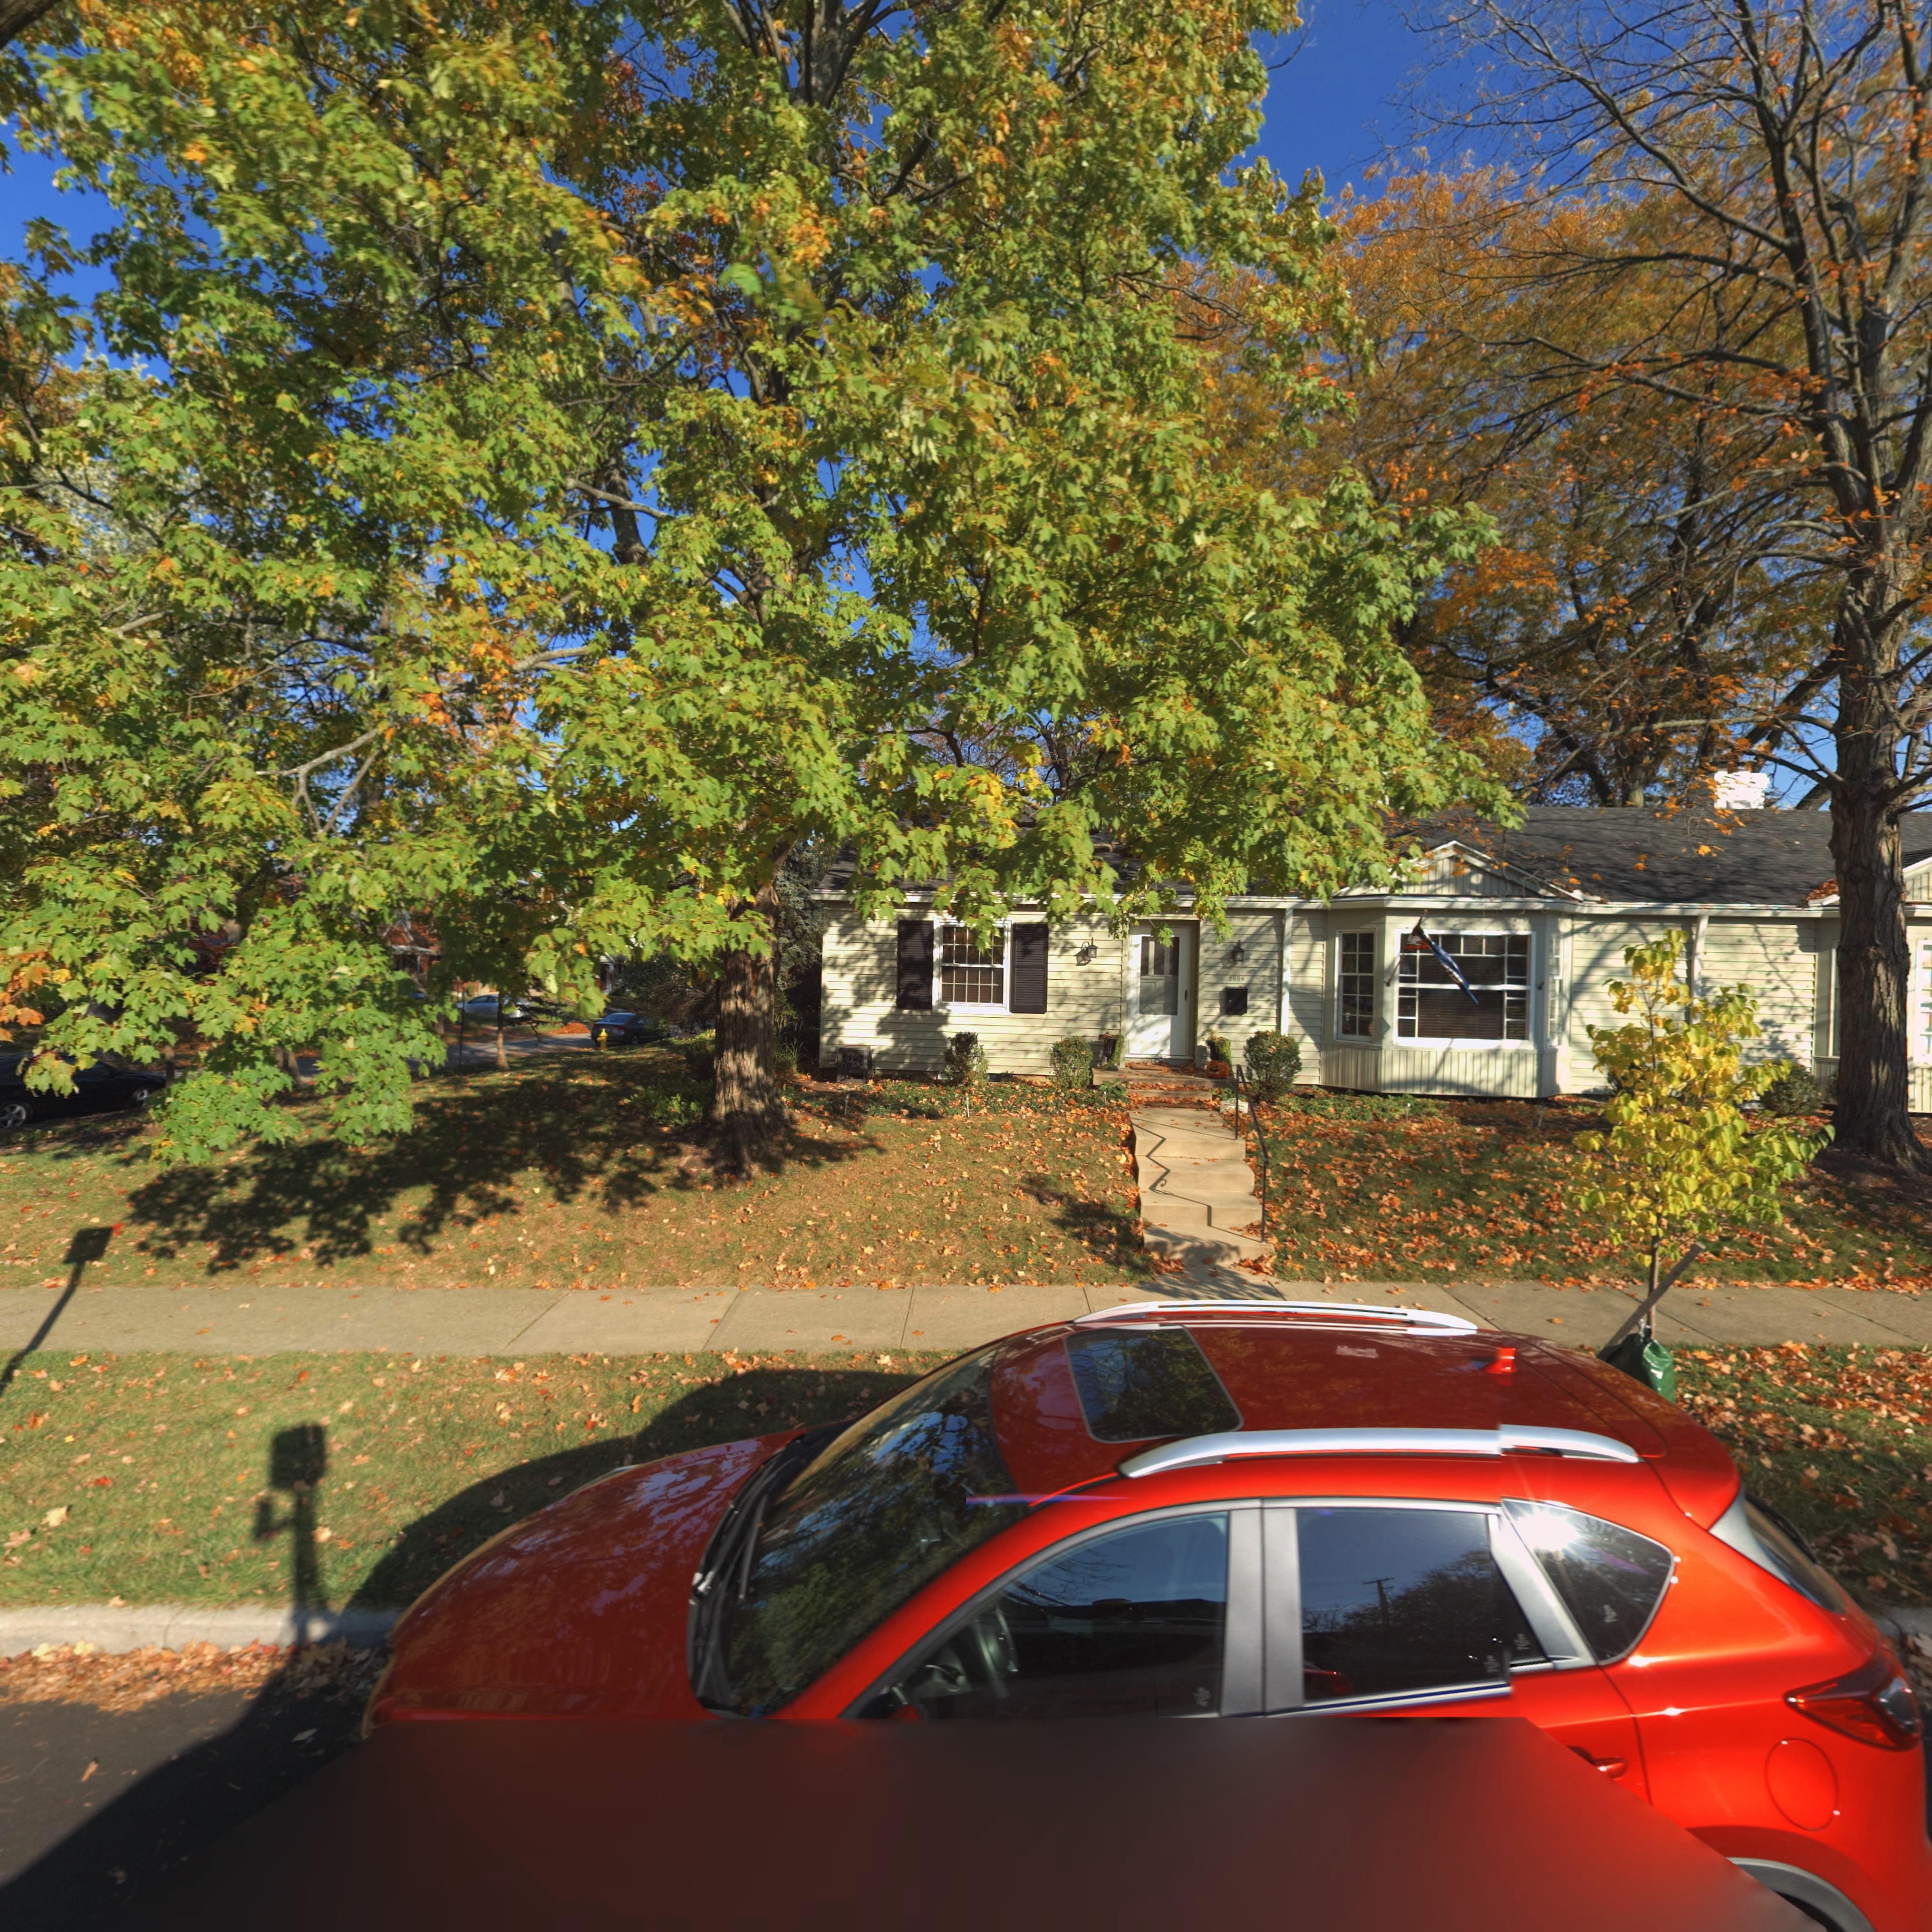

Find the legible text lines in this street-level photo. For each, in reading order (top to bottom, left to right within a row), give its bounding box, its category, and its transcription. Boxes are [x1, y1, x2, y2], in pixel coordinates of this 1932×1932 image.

[1227, 975, 1246, 983] StreetNumber: 2606